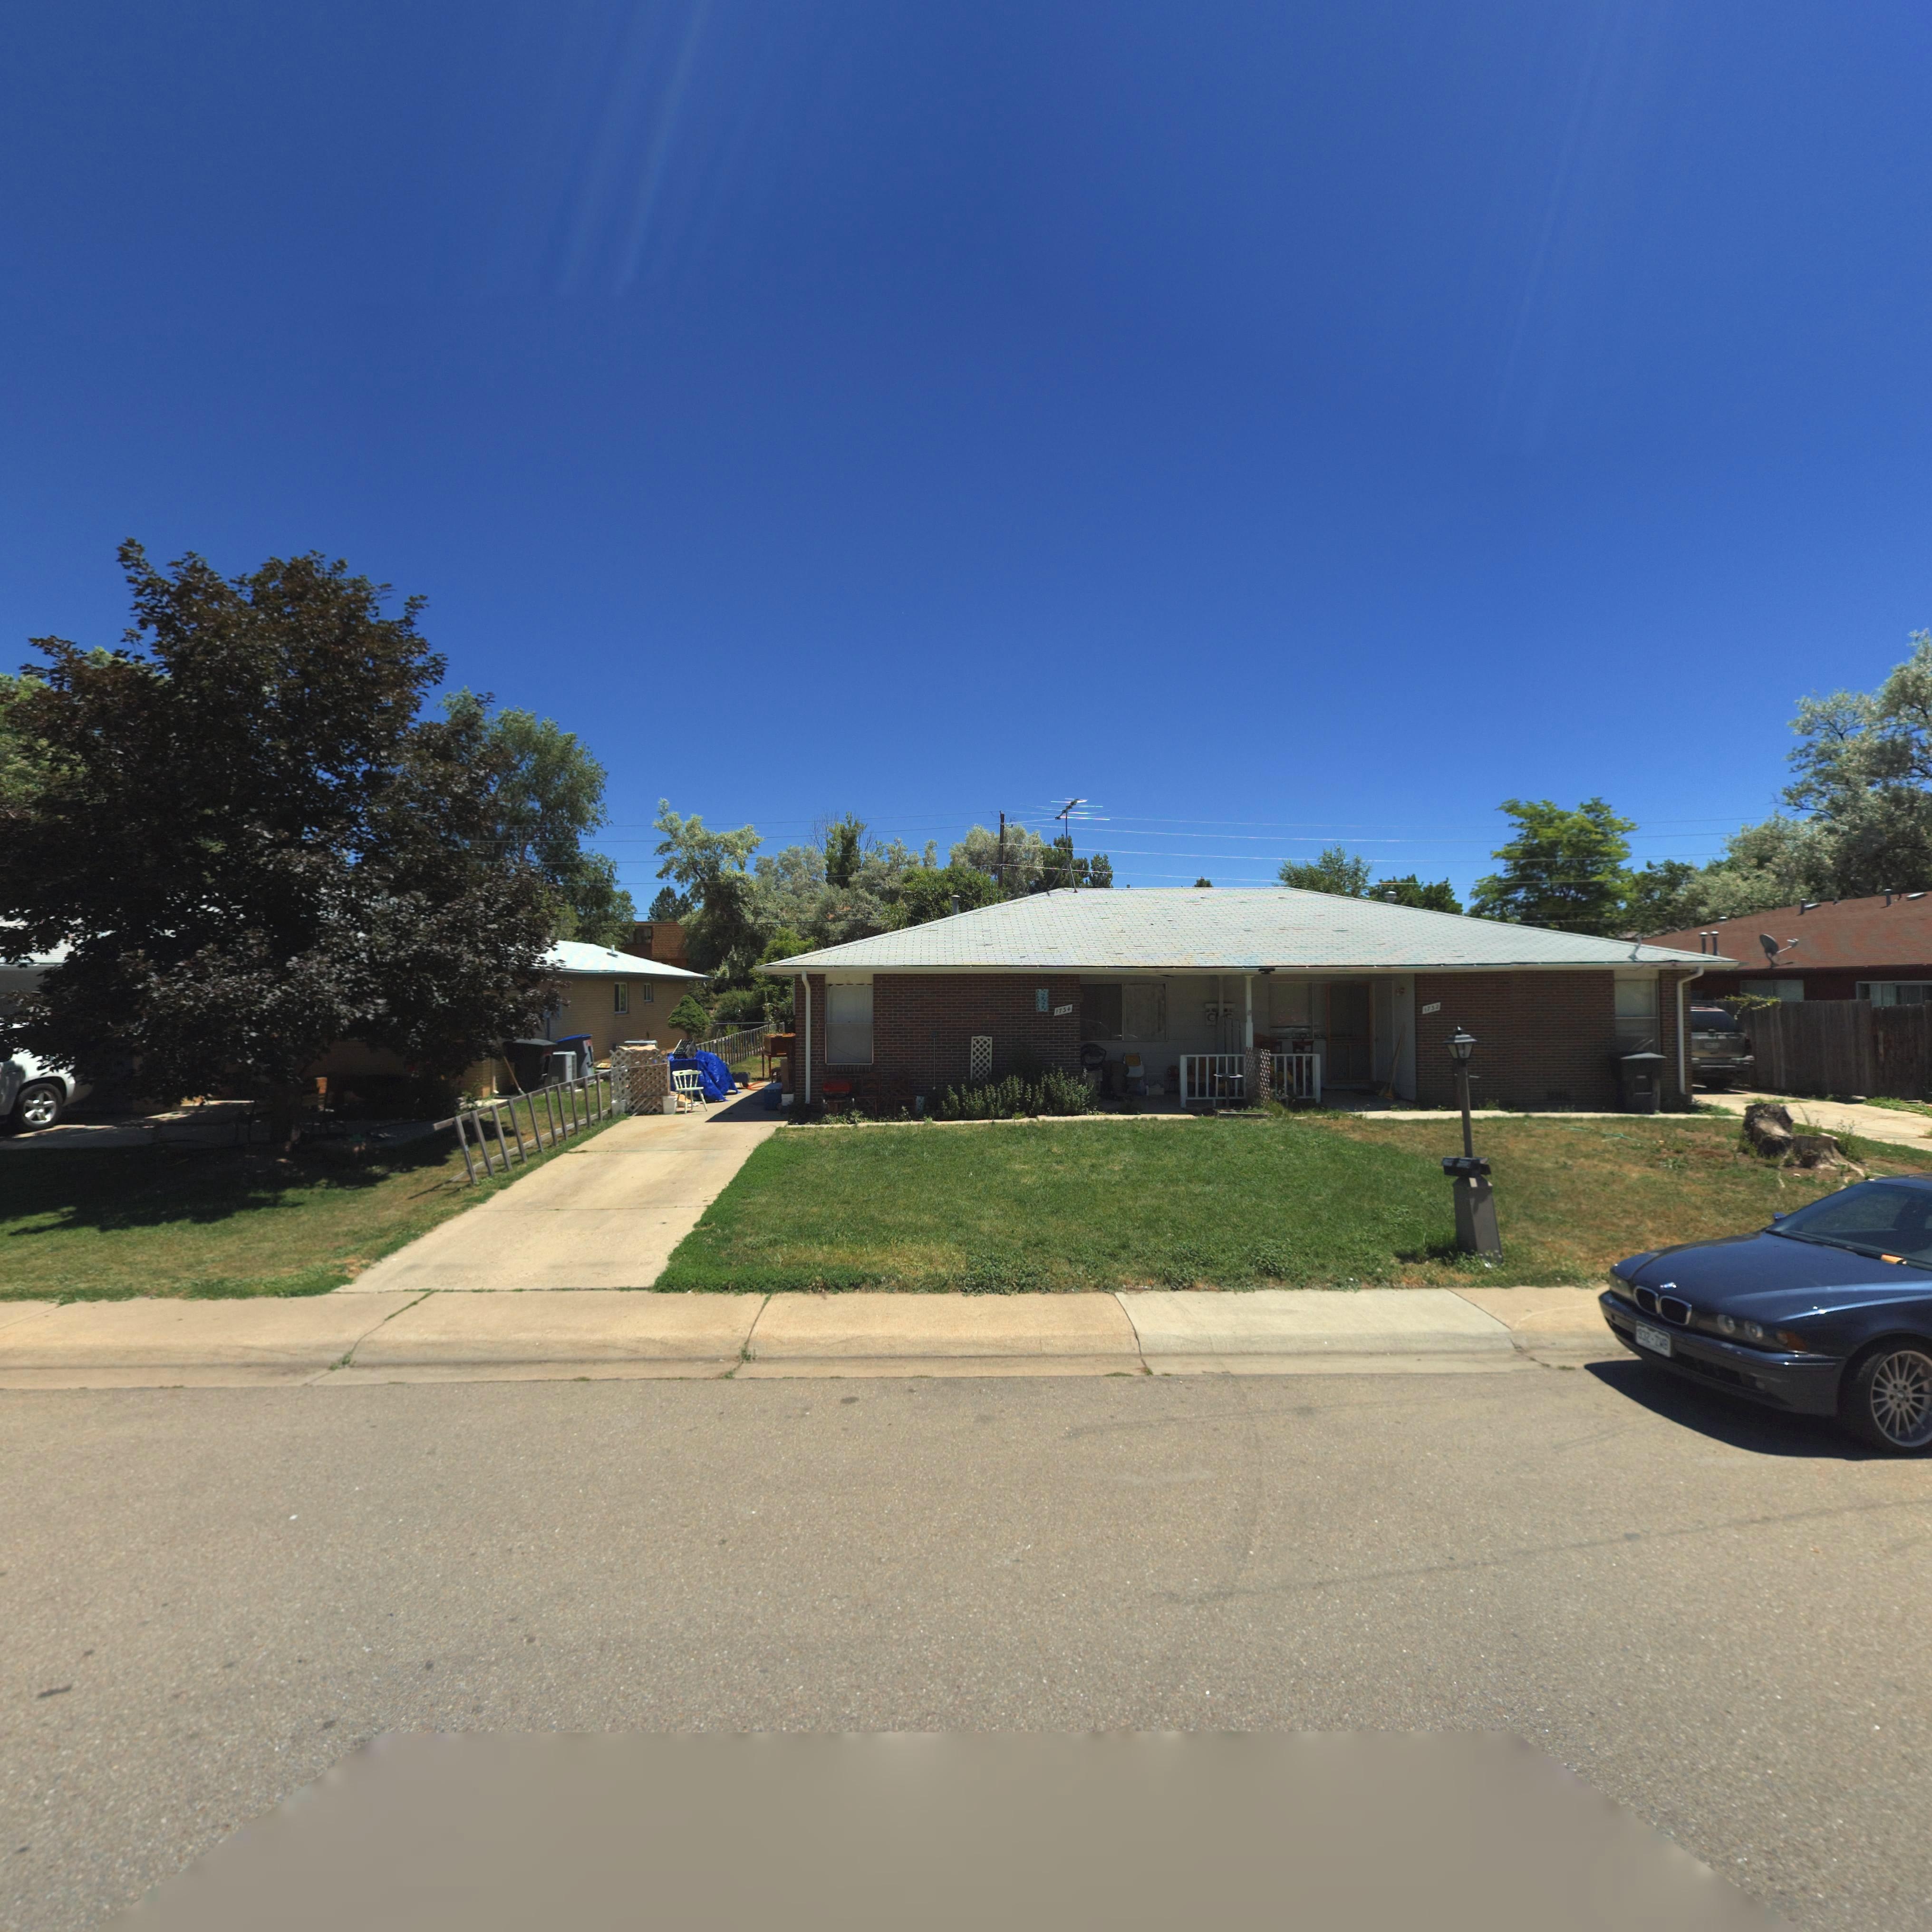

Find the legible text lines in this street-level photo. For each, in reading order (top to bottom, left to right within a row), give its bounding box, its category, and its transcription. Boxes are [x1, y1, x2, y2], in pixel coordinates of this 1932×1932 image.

[1055, 1005, 1070, 1014] StreetNumber: 1734
[1423, 1003, 1439, 1012] StreetNumber: 1732